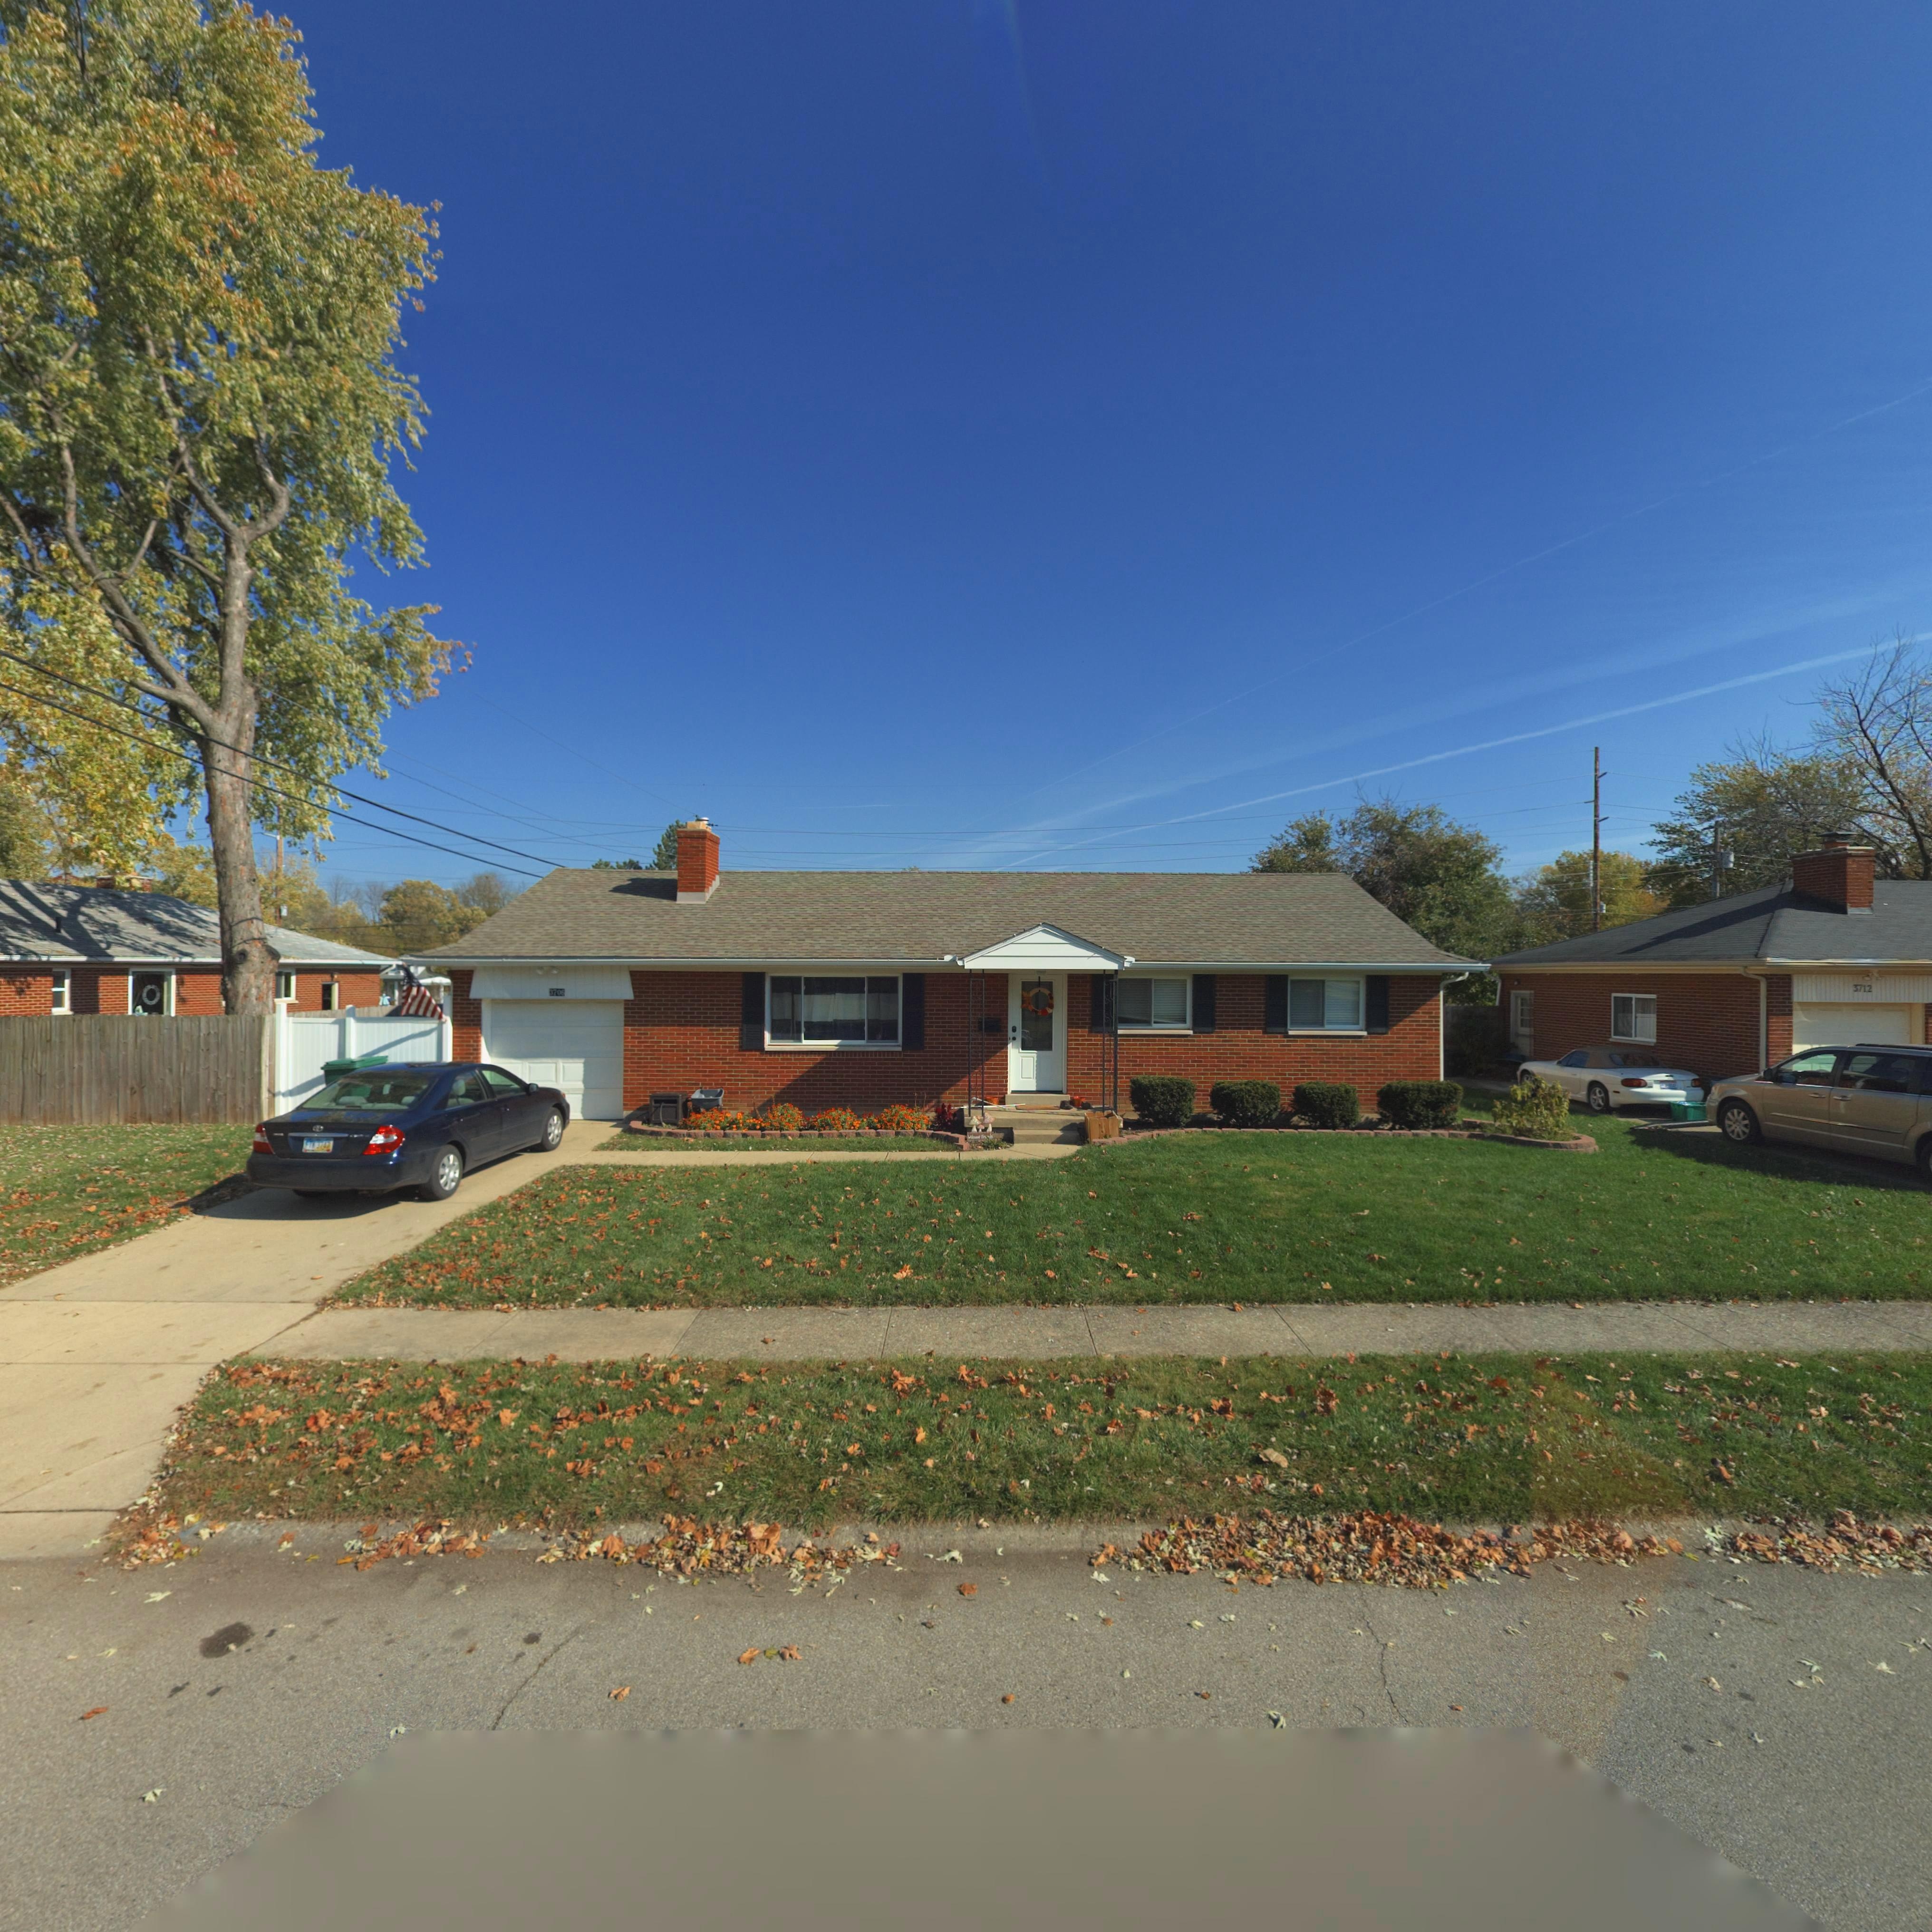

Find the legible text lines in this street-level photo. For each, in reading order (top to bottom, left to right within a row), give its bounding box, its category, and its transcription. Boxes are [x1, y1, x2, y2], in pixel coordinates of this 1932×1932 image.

[549, 988, 566, 997] StreetNumber: 3706
[1852, 983, 1874, 994] StreetNumber: 3712